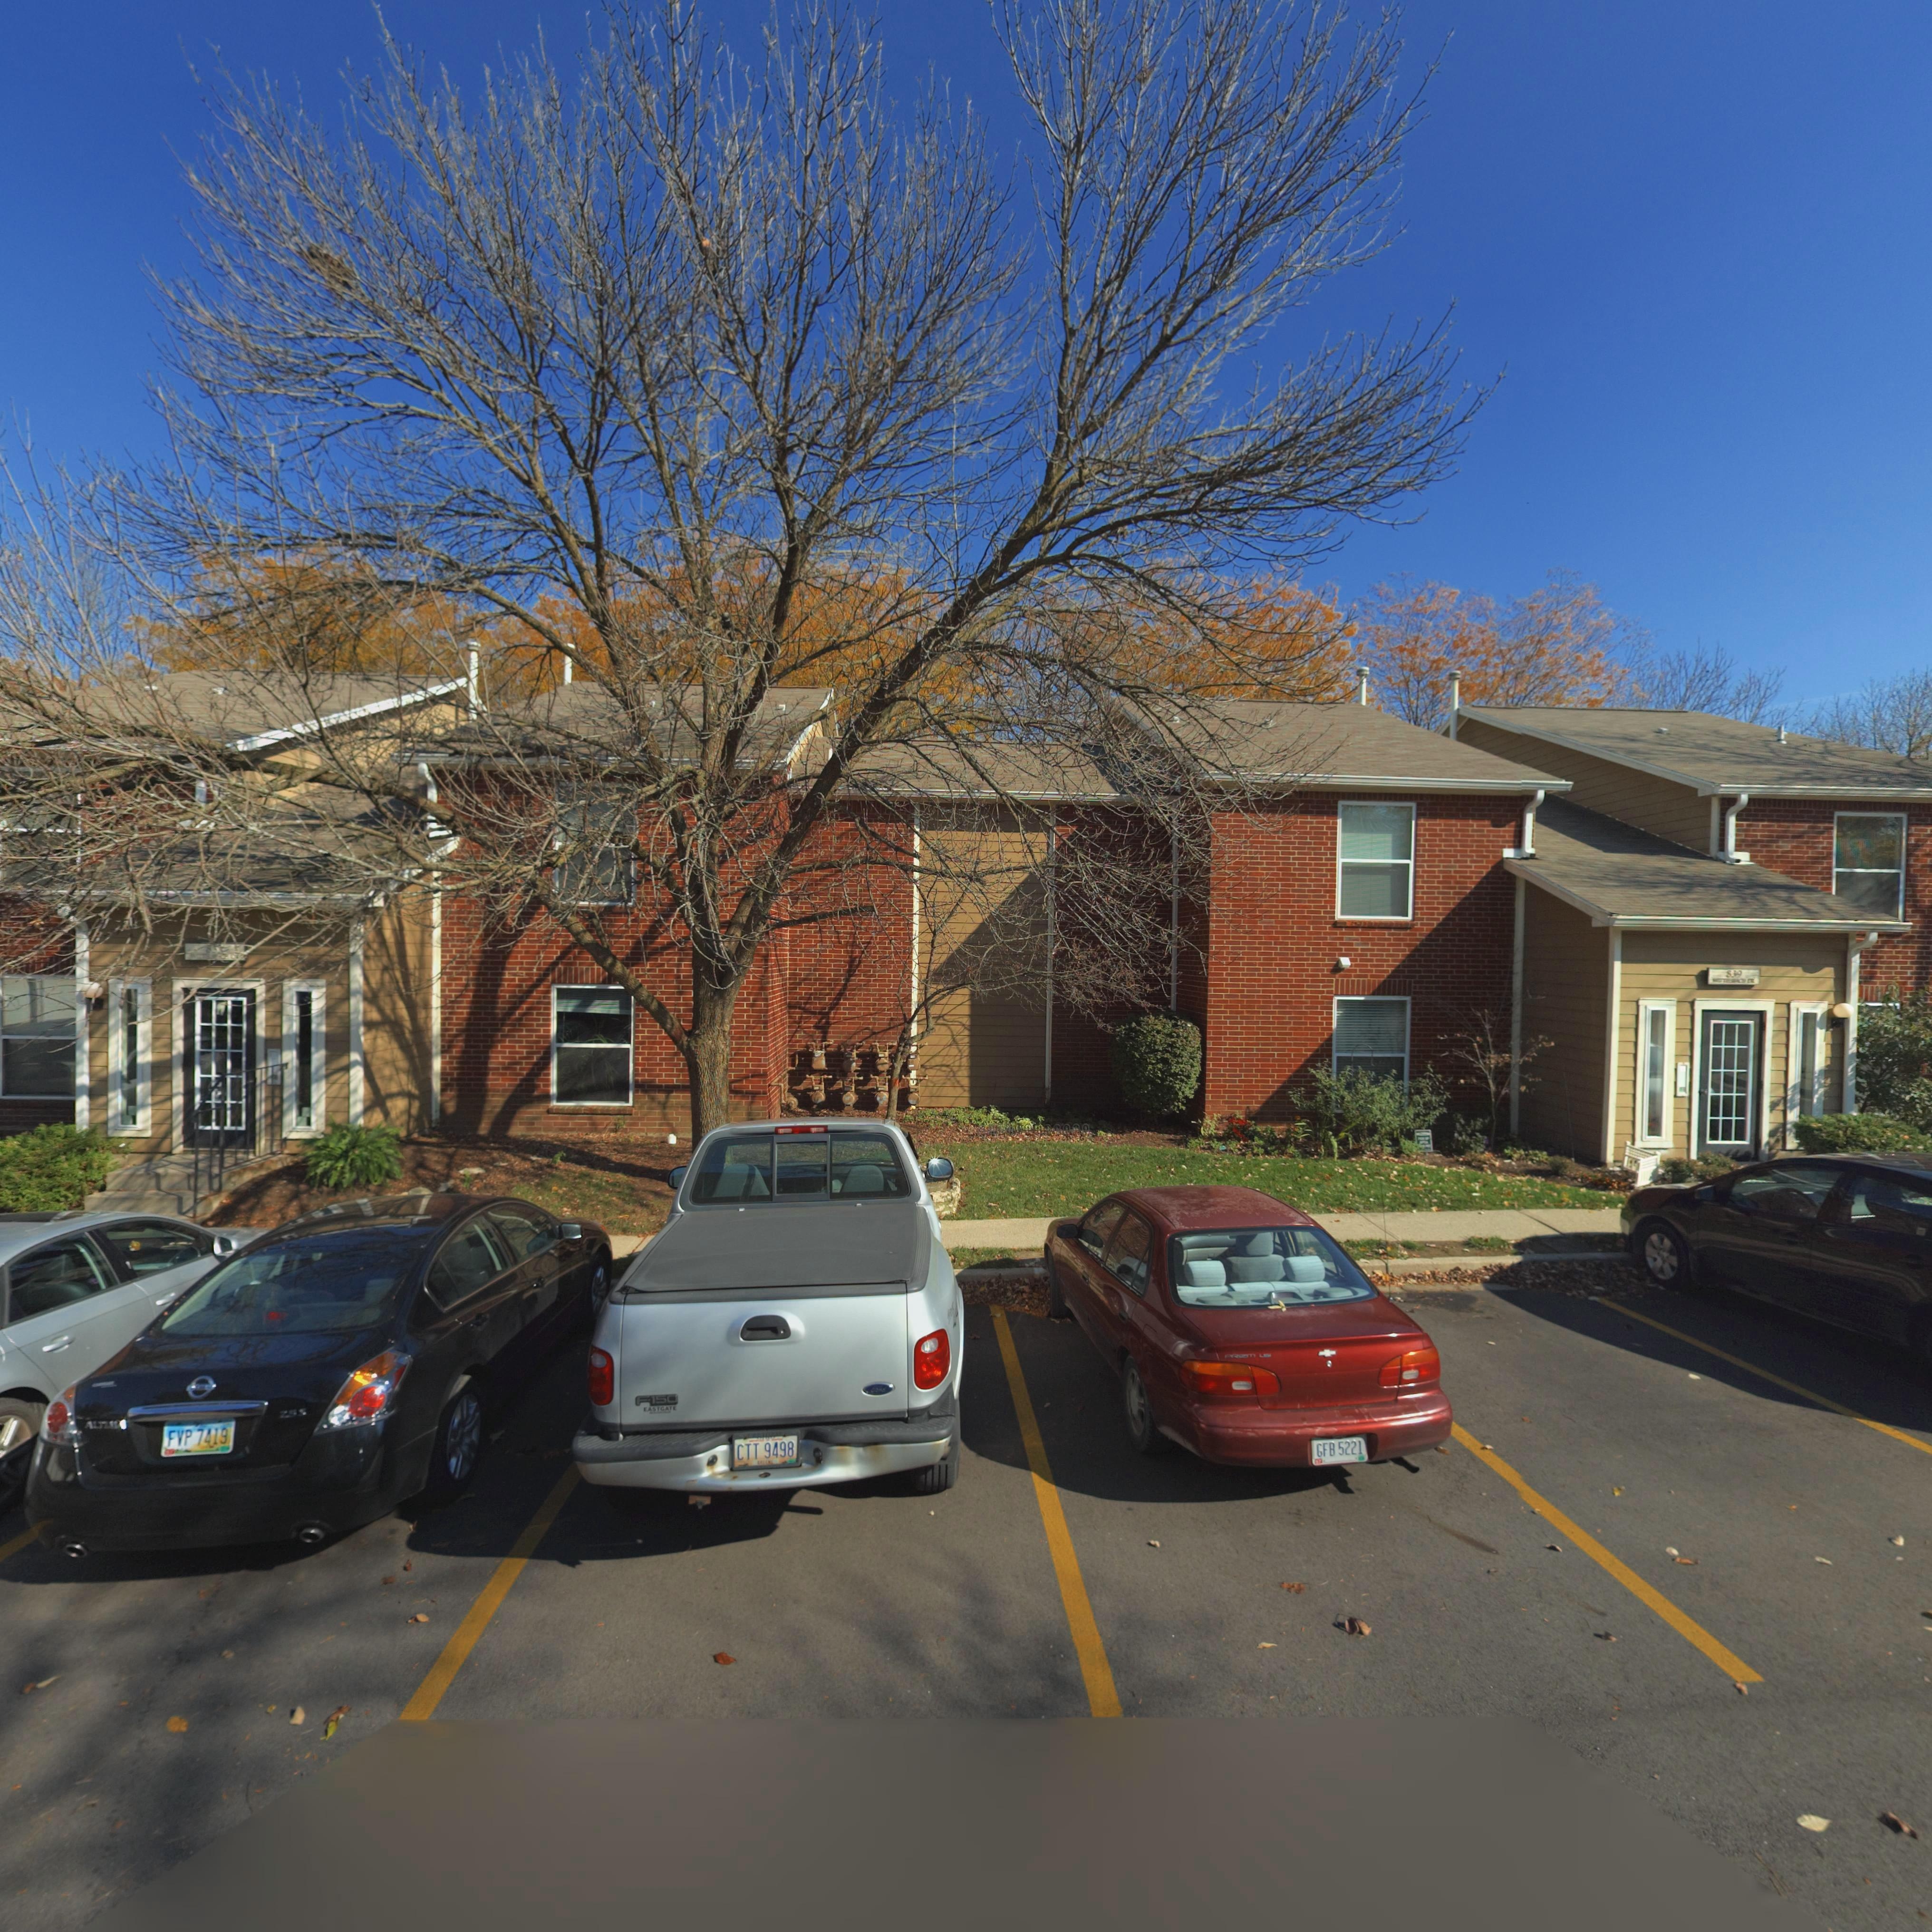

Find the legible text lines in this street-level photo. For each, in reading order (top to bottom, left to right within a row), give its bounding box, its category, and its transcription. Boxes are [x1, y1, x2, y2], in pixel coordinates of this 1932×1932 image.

[1723, 967, 1744, 980] StreetNumber: 839
[633, 1392, 679, 1408] None: F150
[278, 1406, 308, 1420] None: 25S
[83, 1420, 107, 1430] None: ALT
[166, 1424, 230, 1450] None: FVP 7419
[735, 1439, 795, 1462] None: CTT 9498
[1314, 1438, 1365, 1460] None: GFB 5221